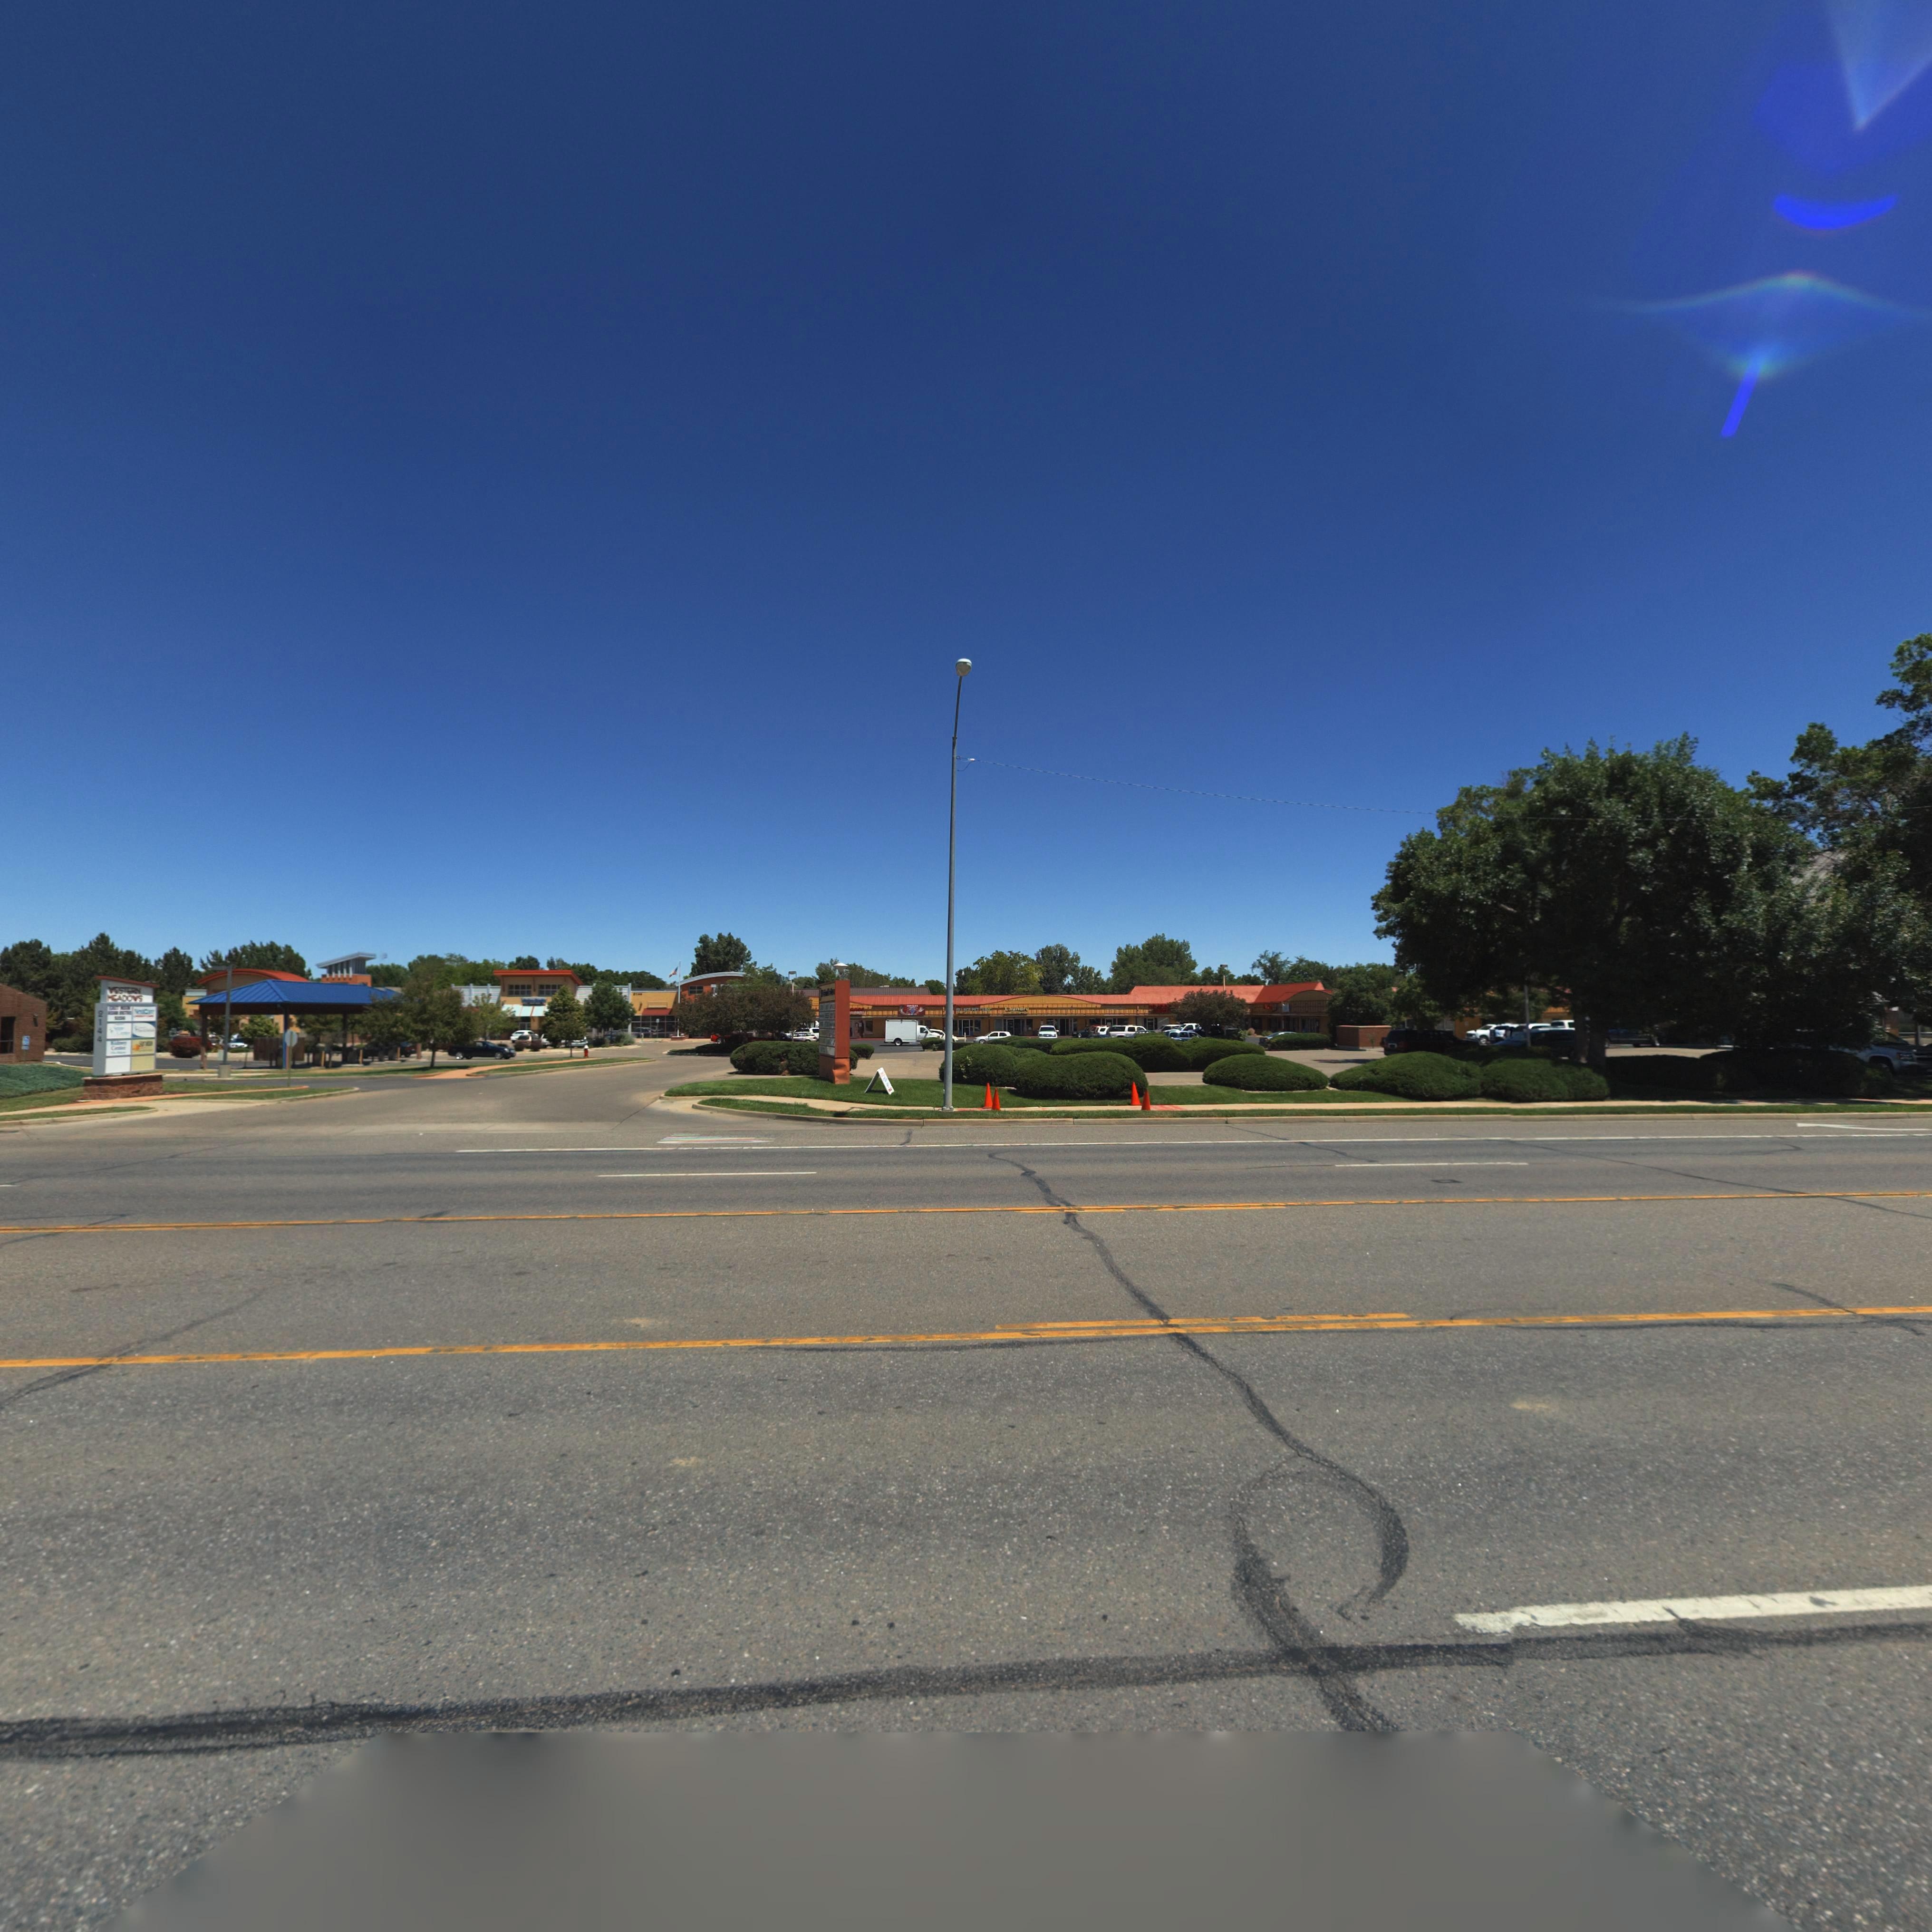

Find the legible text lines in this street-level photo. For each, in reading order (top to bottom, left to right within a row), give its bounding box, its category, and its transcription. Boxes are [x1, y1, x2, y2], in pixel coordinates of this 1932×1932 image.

[633, 992, 642, 995] StreetNumber: 21**
[955, 1007, 992, 1012] BusinessName: ***LAGE PET ****IC
[96, 1010, 104, 1043] StreetNumber: 2144
[110, 1045, 126, 1051] BusinessName: C******